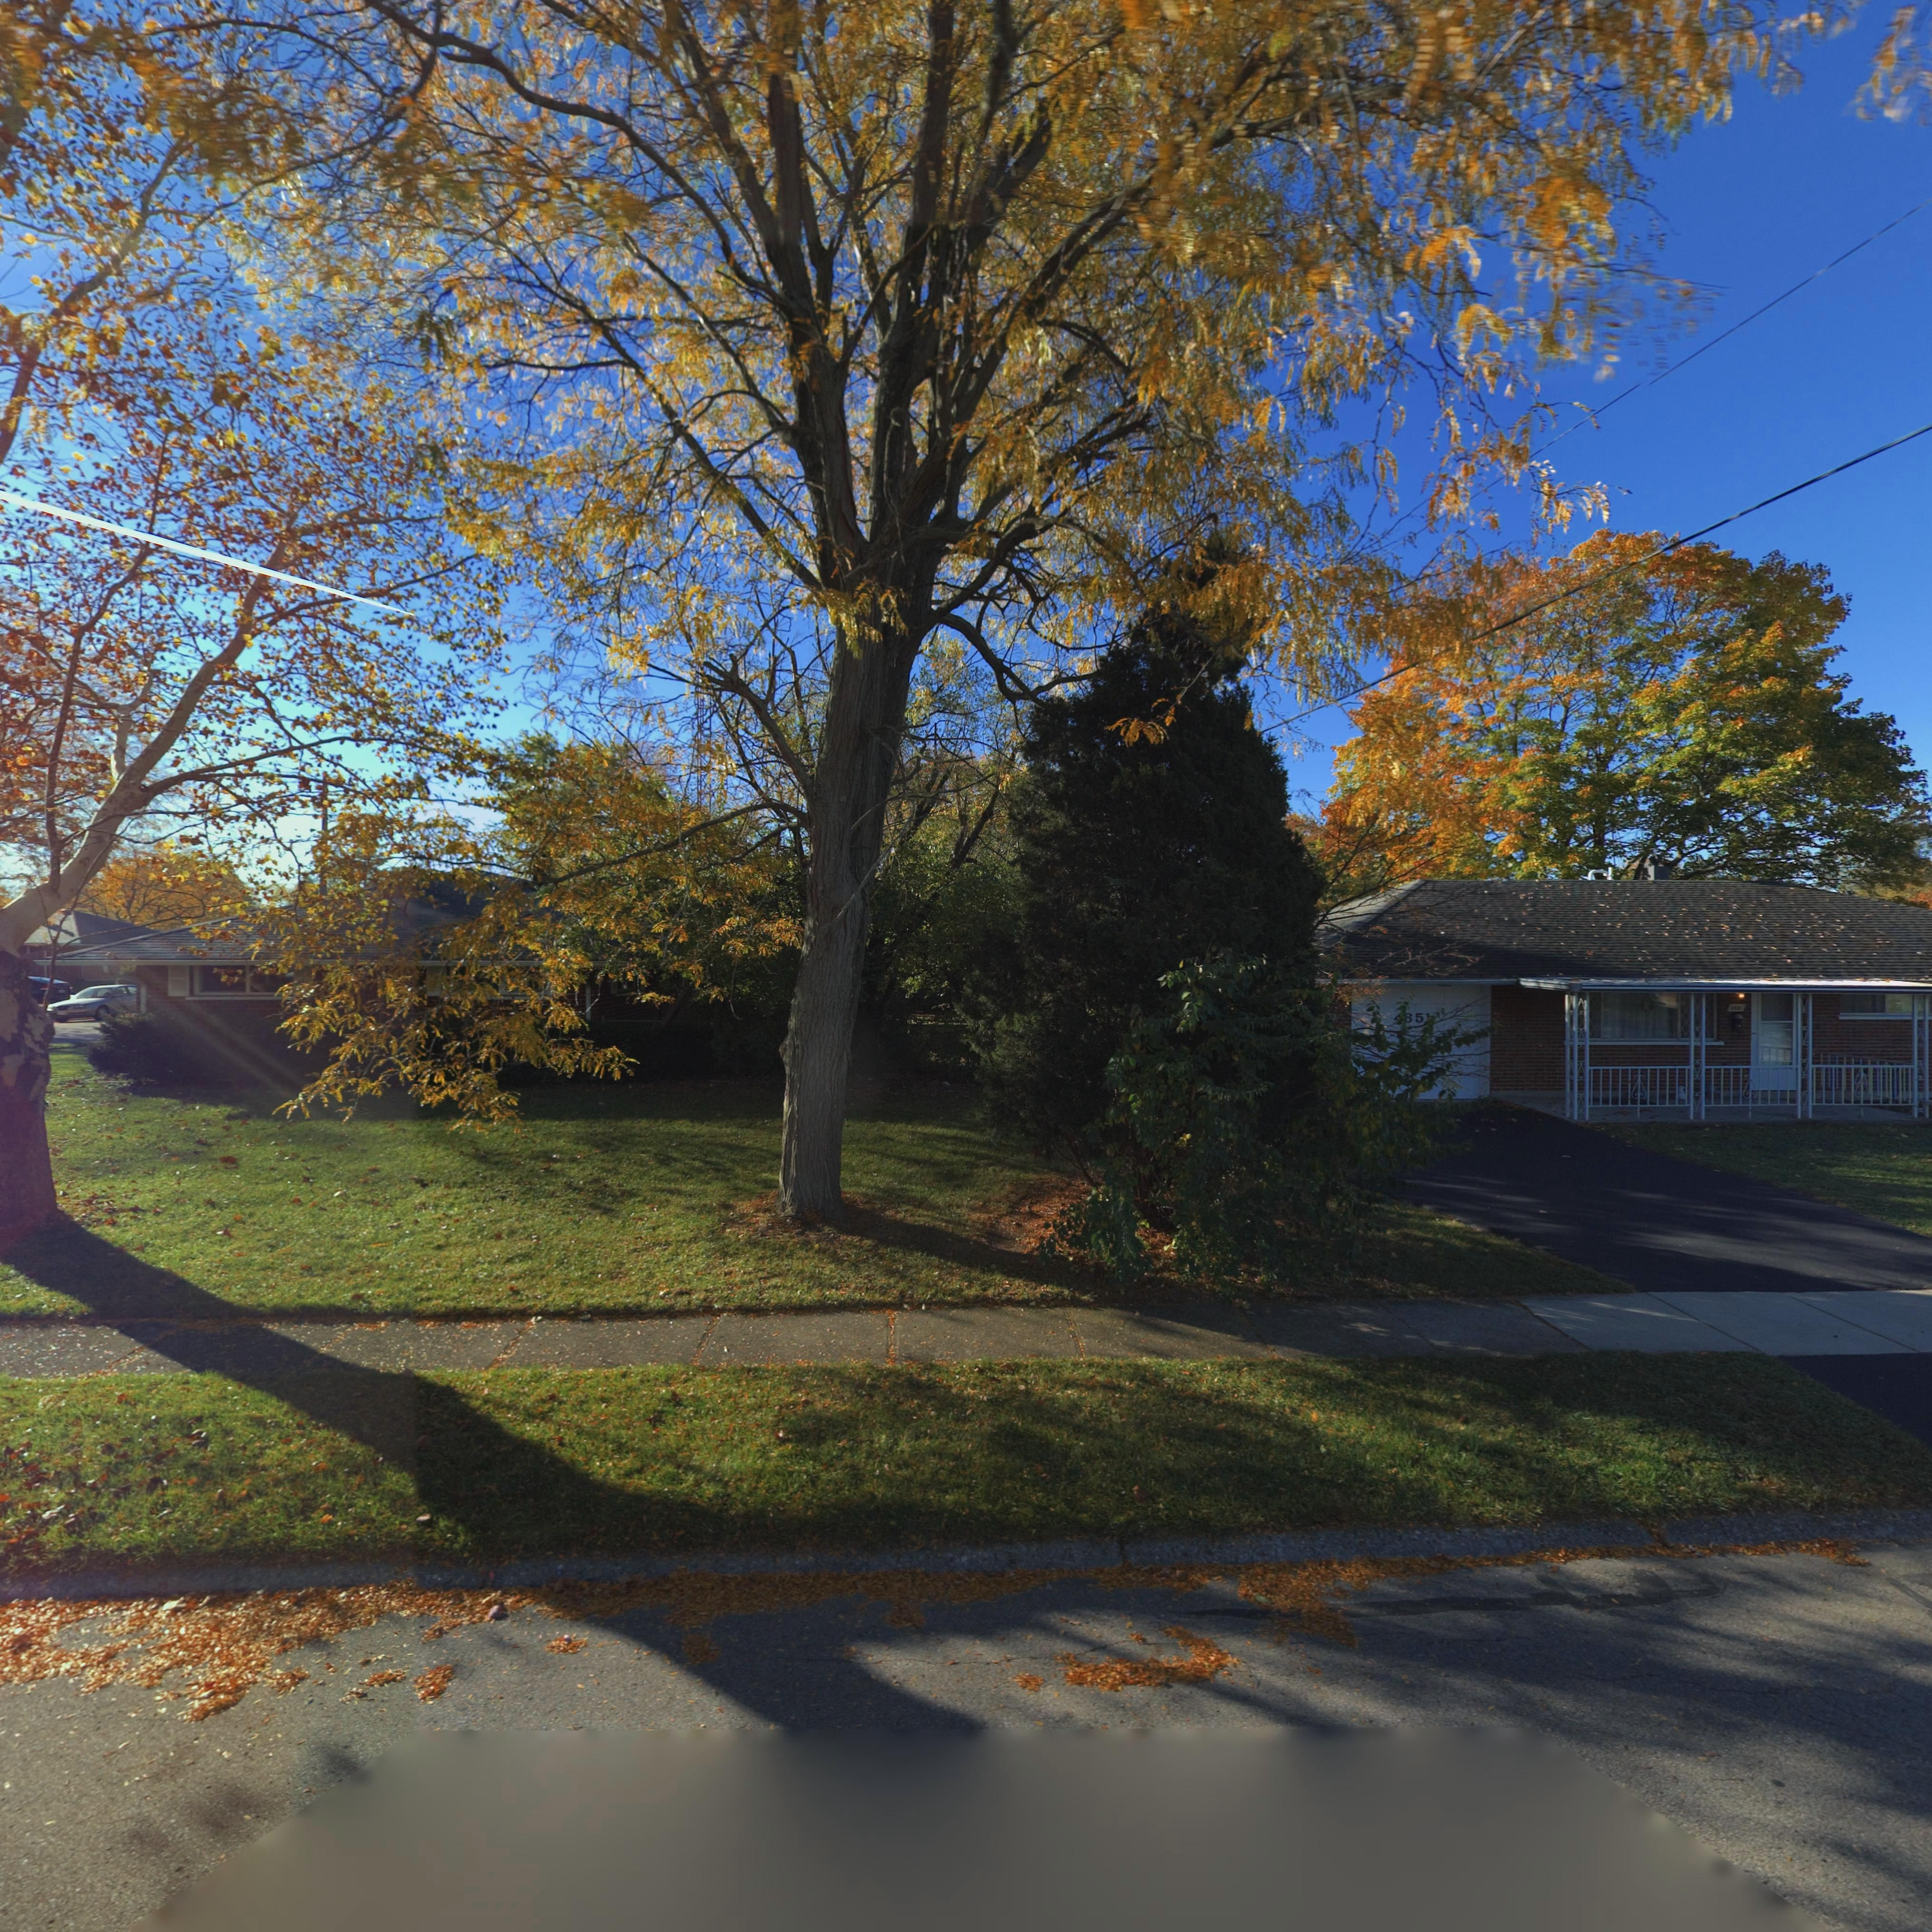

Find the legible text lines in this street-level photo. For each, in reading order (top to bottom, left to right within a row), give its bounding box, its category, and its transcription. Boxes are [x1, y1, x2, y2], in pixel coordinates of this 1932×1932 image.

[1403, 1012, 1424, 1024] StreetNumber: 85